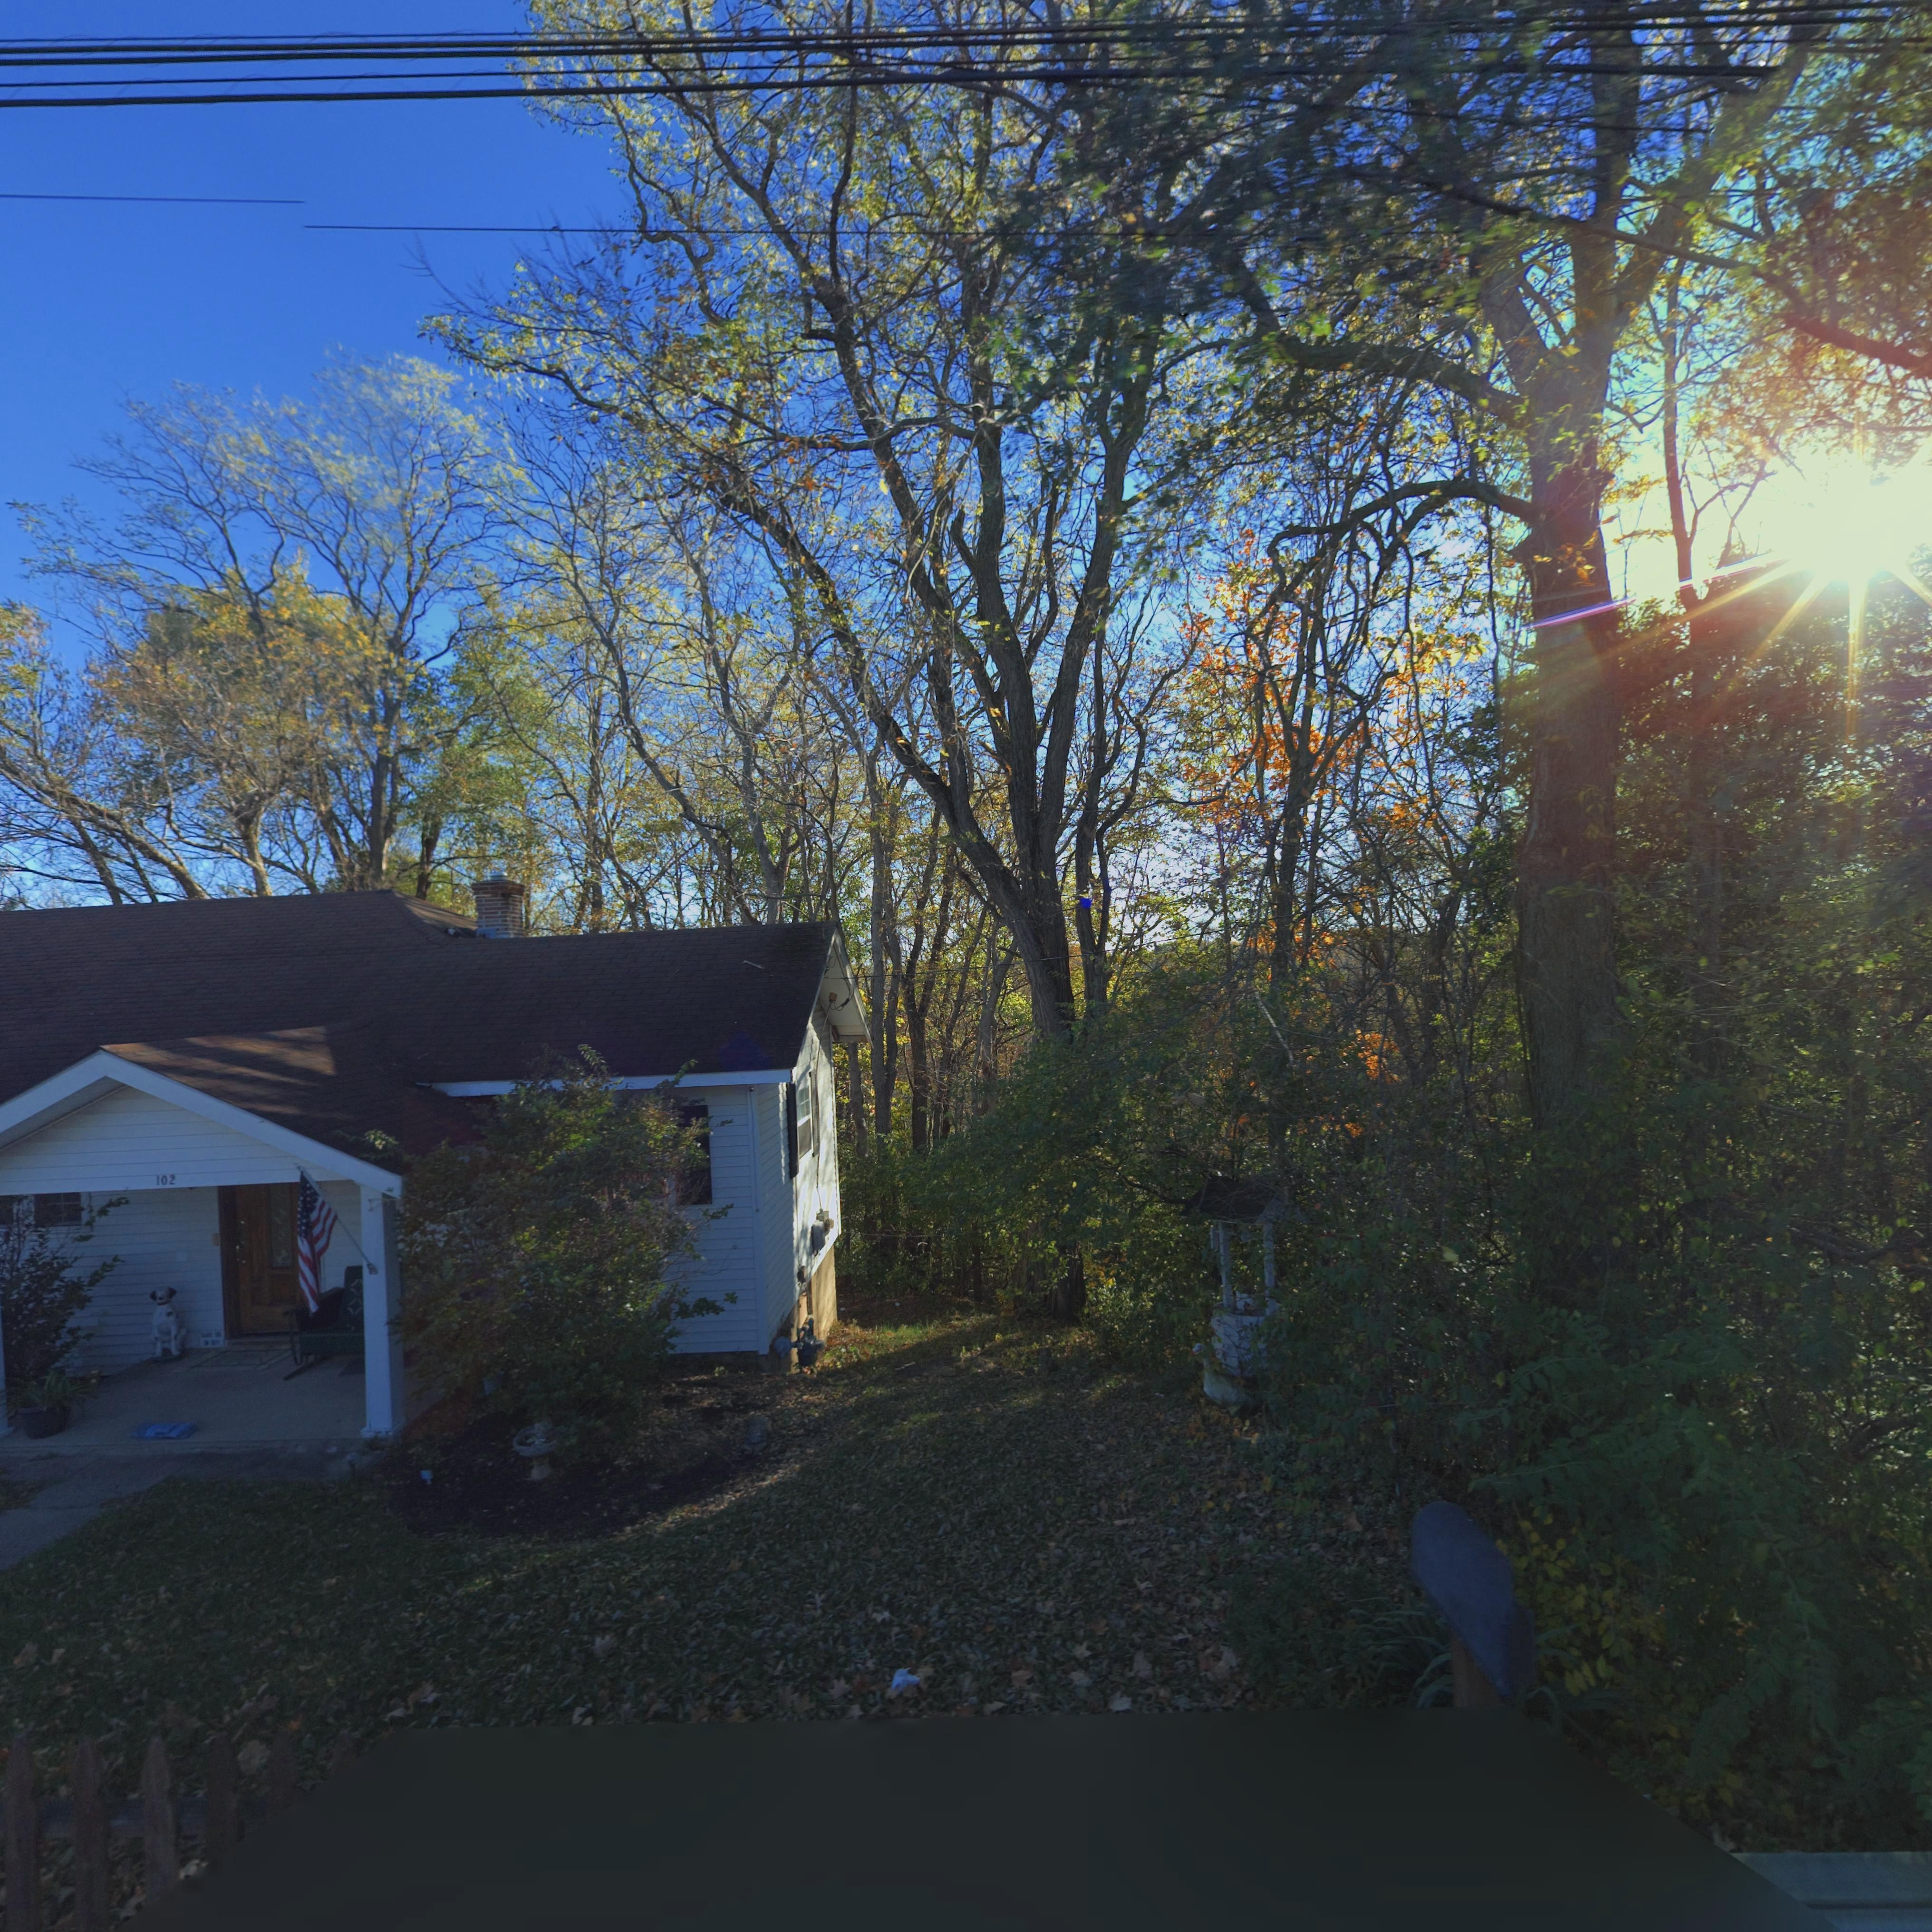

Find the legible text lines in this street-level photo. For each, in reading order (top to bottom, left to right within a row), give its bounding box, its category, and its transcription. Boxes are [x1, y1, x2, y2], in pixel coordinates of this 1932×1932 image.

[155, 1173, 176, 1187] StreetNumber: 102